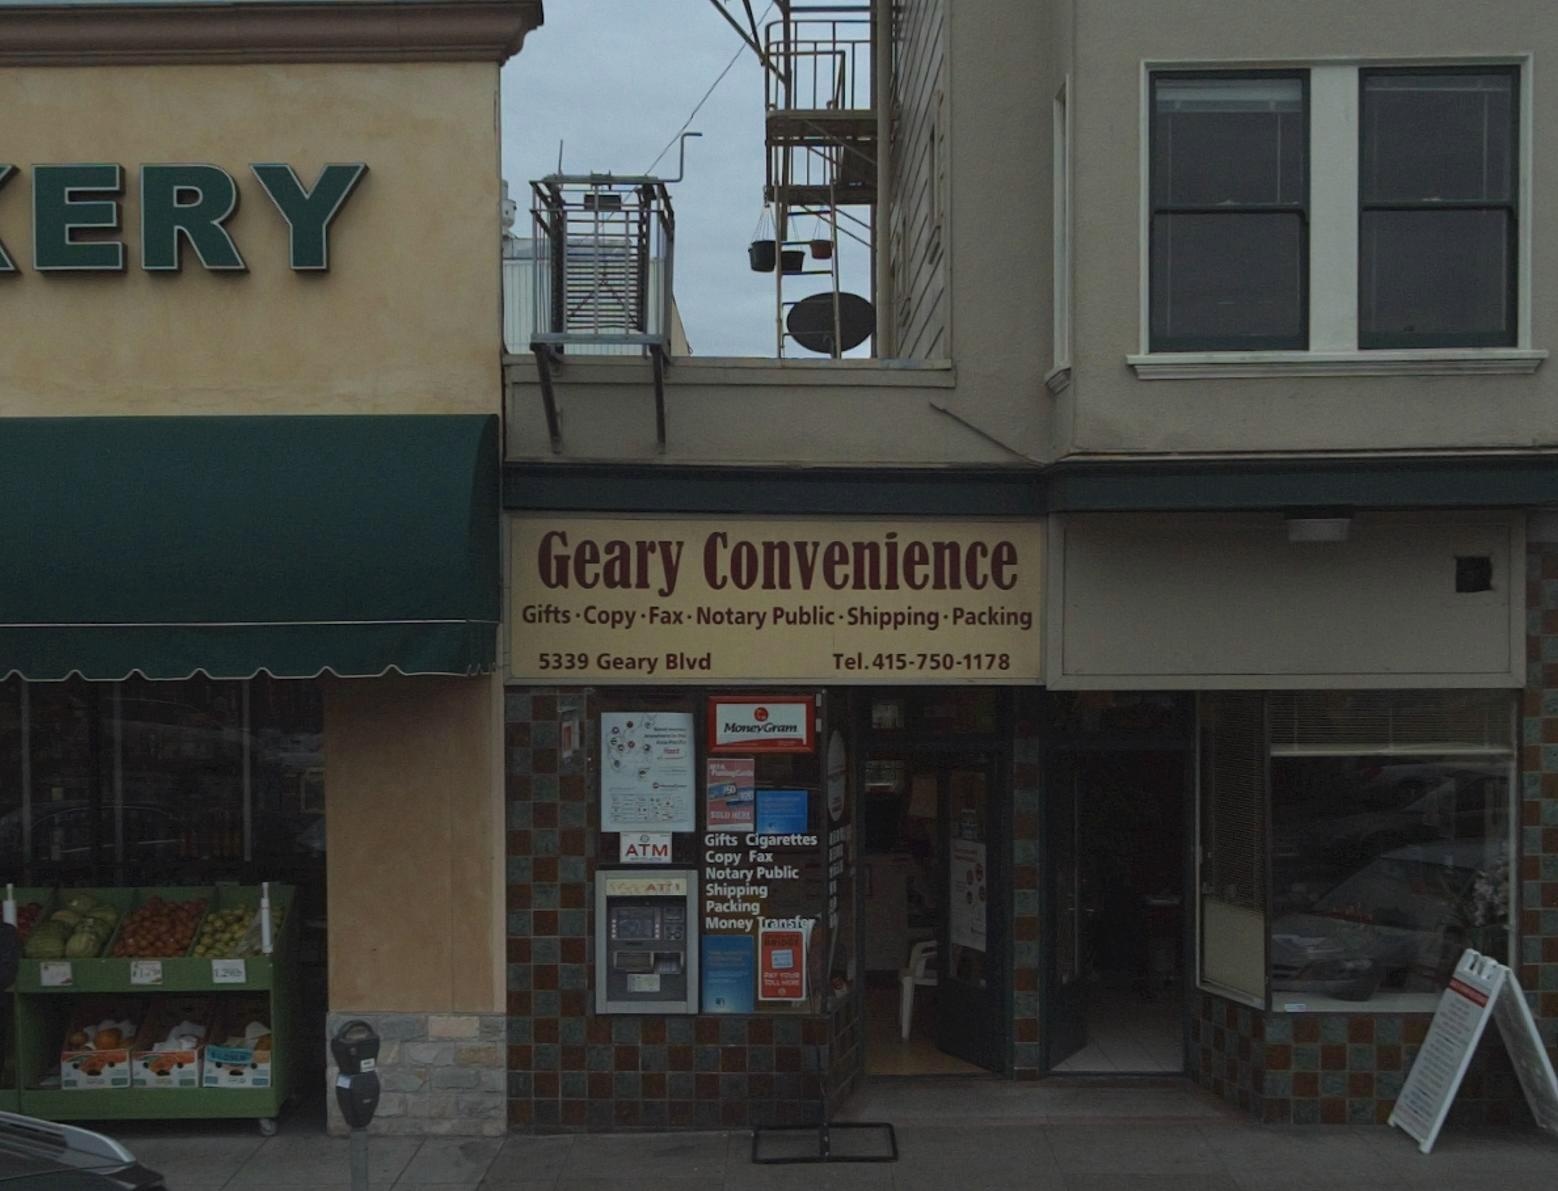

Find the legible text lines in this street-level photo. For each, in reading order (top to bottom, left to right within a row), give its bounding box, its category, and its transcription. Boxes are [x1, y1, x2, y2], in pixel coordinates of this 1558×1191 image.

[28, 158, 372, 273] BusinessName: ERY
[534, 527, 1021, 600] BusinessName: Geary Convenience
[520, 602, 1035, 633] None: Gift * Copy * Fax * Notary Public * Shipping * Packing
[537, 650, 592, 674] StreetNumber: 5339
[594, 649, 714, 677] StreetName: Geary Blvd
[830, 650, 1014, 673] None: Tel.415-750-1178
[721, 719, 800, 737] None: MoneyGram
[622, 841, 672, 860] None: ATM
[702, 847, 776, 869] None: Copy Fax
[701, 830, 820, 851] None: Gifts Cigarettes
[704, 861, 802, 885] None: Notary Public
[703, 880, 772, 901] None: Shipping
[704, 897, 763, 918] None: Packing
[703, 912, 821, 935] None: Money Transfe*